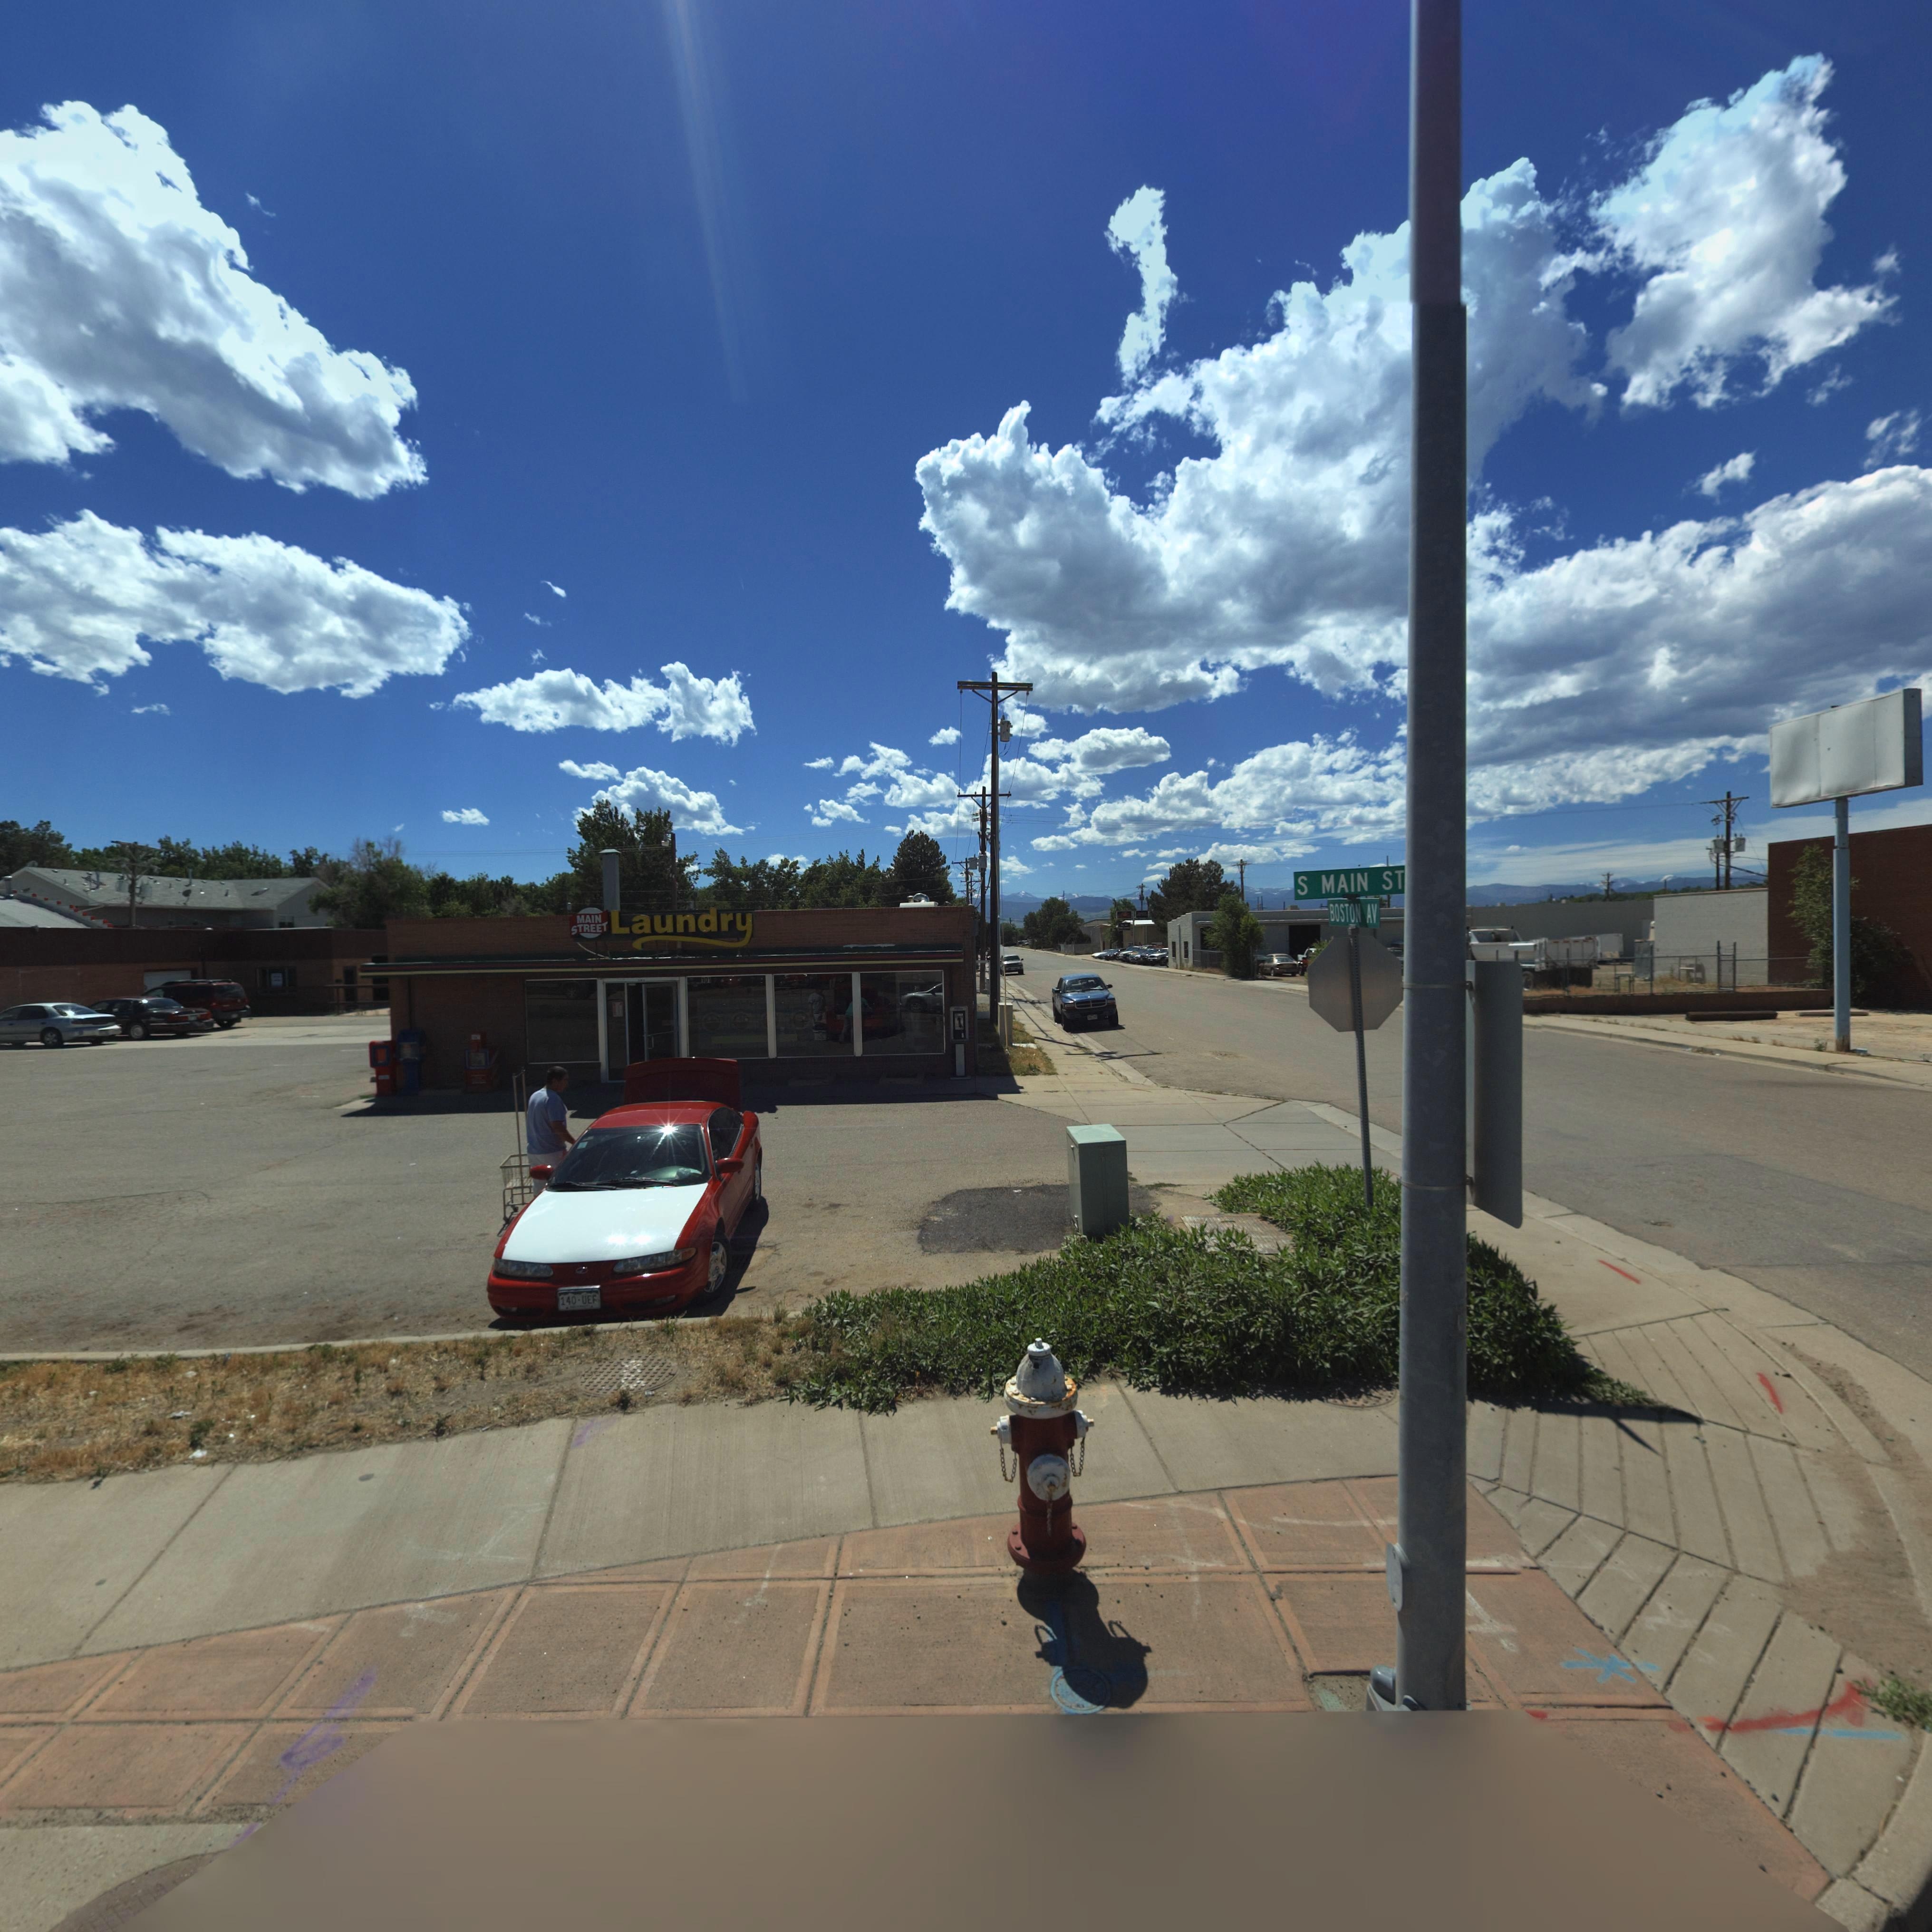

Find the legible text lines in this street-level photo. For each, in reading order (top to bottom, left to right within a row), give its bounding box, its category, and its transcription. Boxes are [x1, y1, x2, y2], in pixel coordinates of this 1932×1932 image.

[1296, 869, 1405, 896] StreetName: S MAIN ST
[576, 914, 601, 923] BusinessName: MAIN
[570, 920, 608, 935] BusinessName: STREET
[610, 907, 753, 945] BusinessName: Laundry
[1329, 903, 1378, 924] StreetName: BOSTON AV
[701, 976, 711, 983] StreetNumber: 101